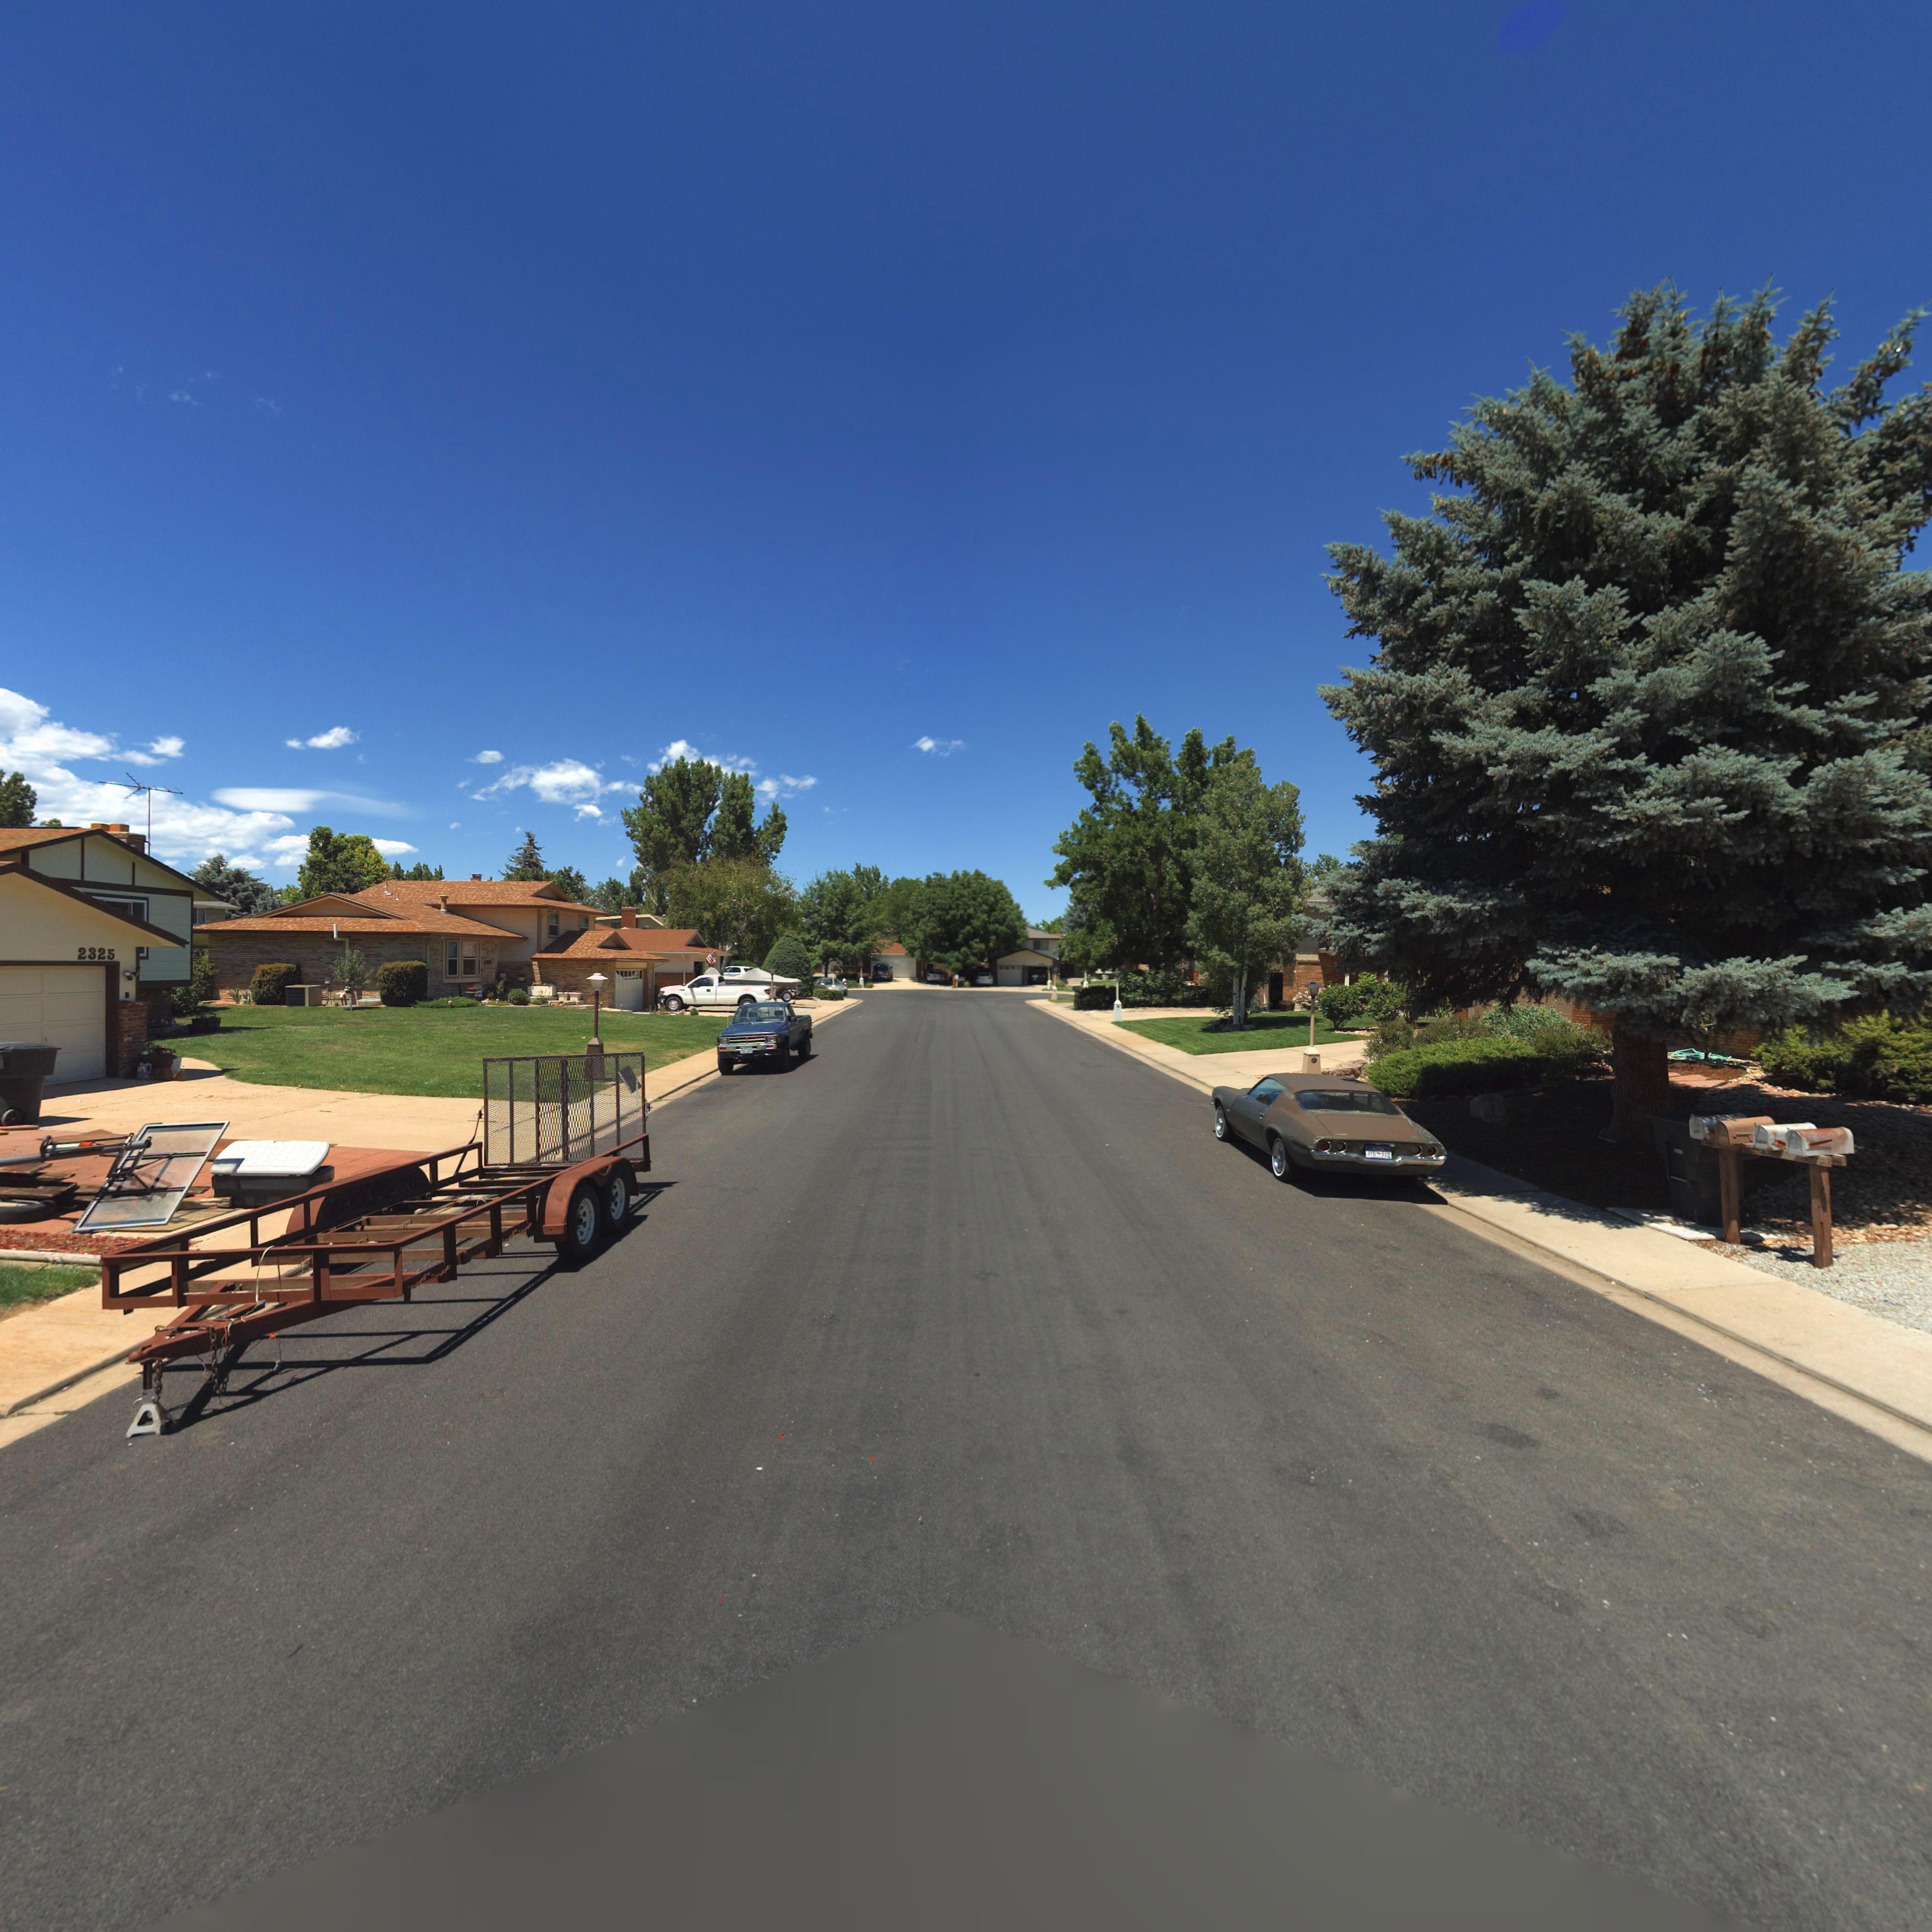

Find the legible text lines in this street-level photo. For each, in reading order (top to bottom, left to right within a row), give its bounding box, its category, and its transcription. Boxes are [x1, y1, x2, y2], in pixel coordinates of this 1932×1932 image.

[77, 947, 115, 960] StreetNumber: 2325